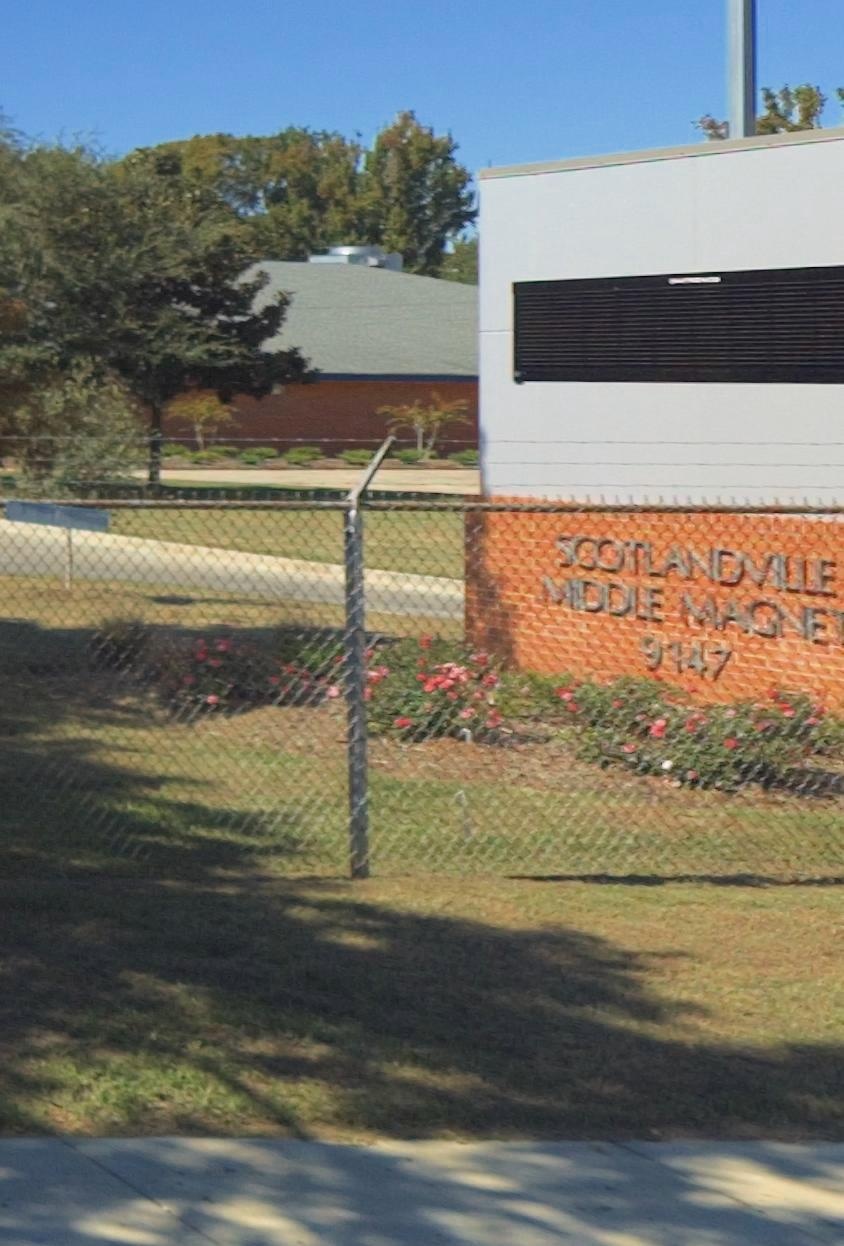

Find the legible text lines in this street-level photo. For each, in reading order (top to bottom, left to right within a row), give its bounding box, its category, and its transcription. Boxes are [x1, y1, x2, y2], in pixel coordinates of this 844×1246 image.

[551, 528, 840, 601] BusinessName: SCOTLANDVILLE
[541, 573, 831, 650] BusinessName: MIDDLE MAGNE
[636, 633, 739, 686] StreetNumber: 9147